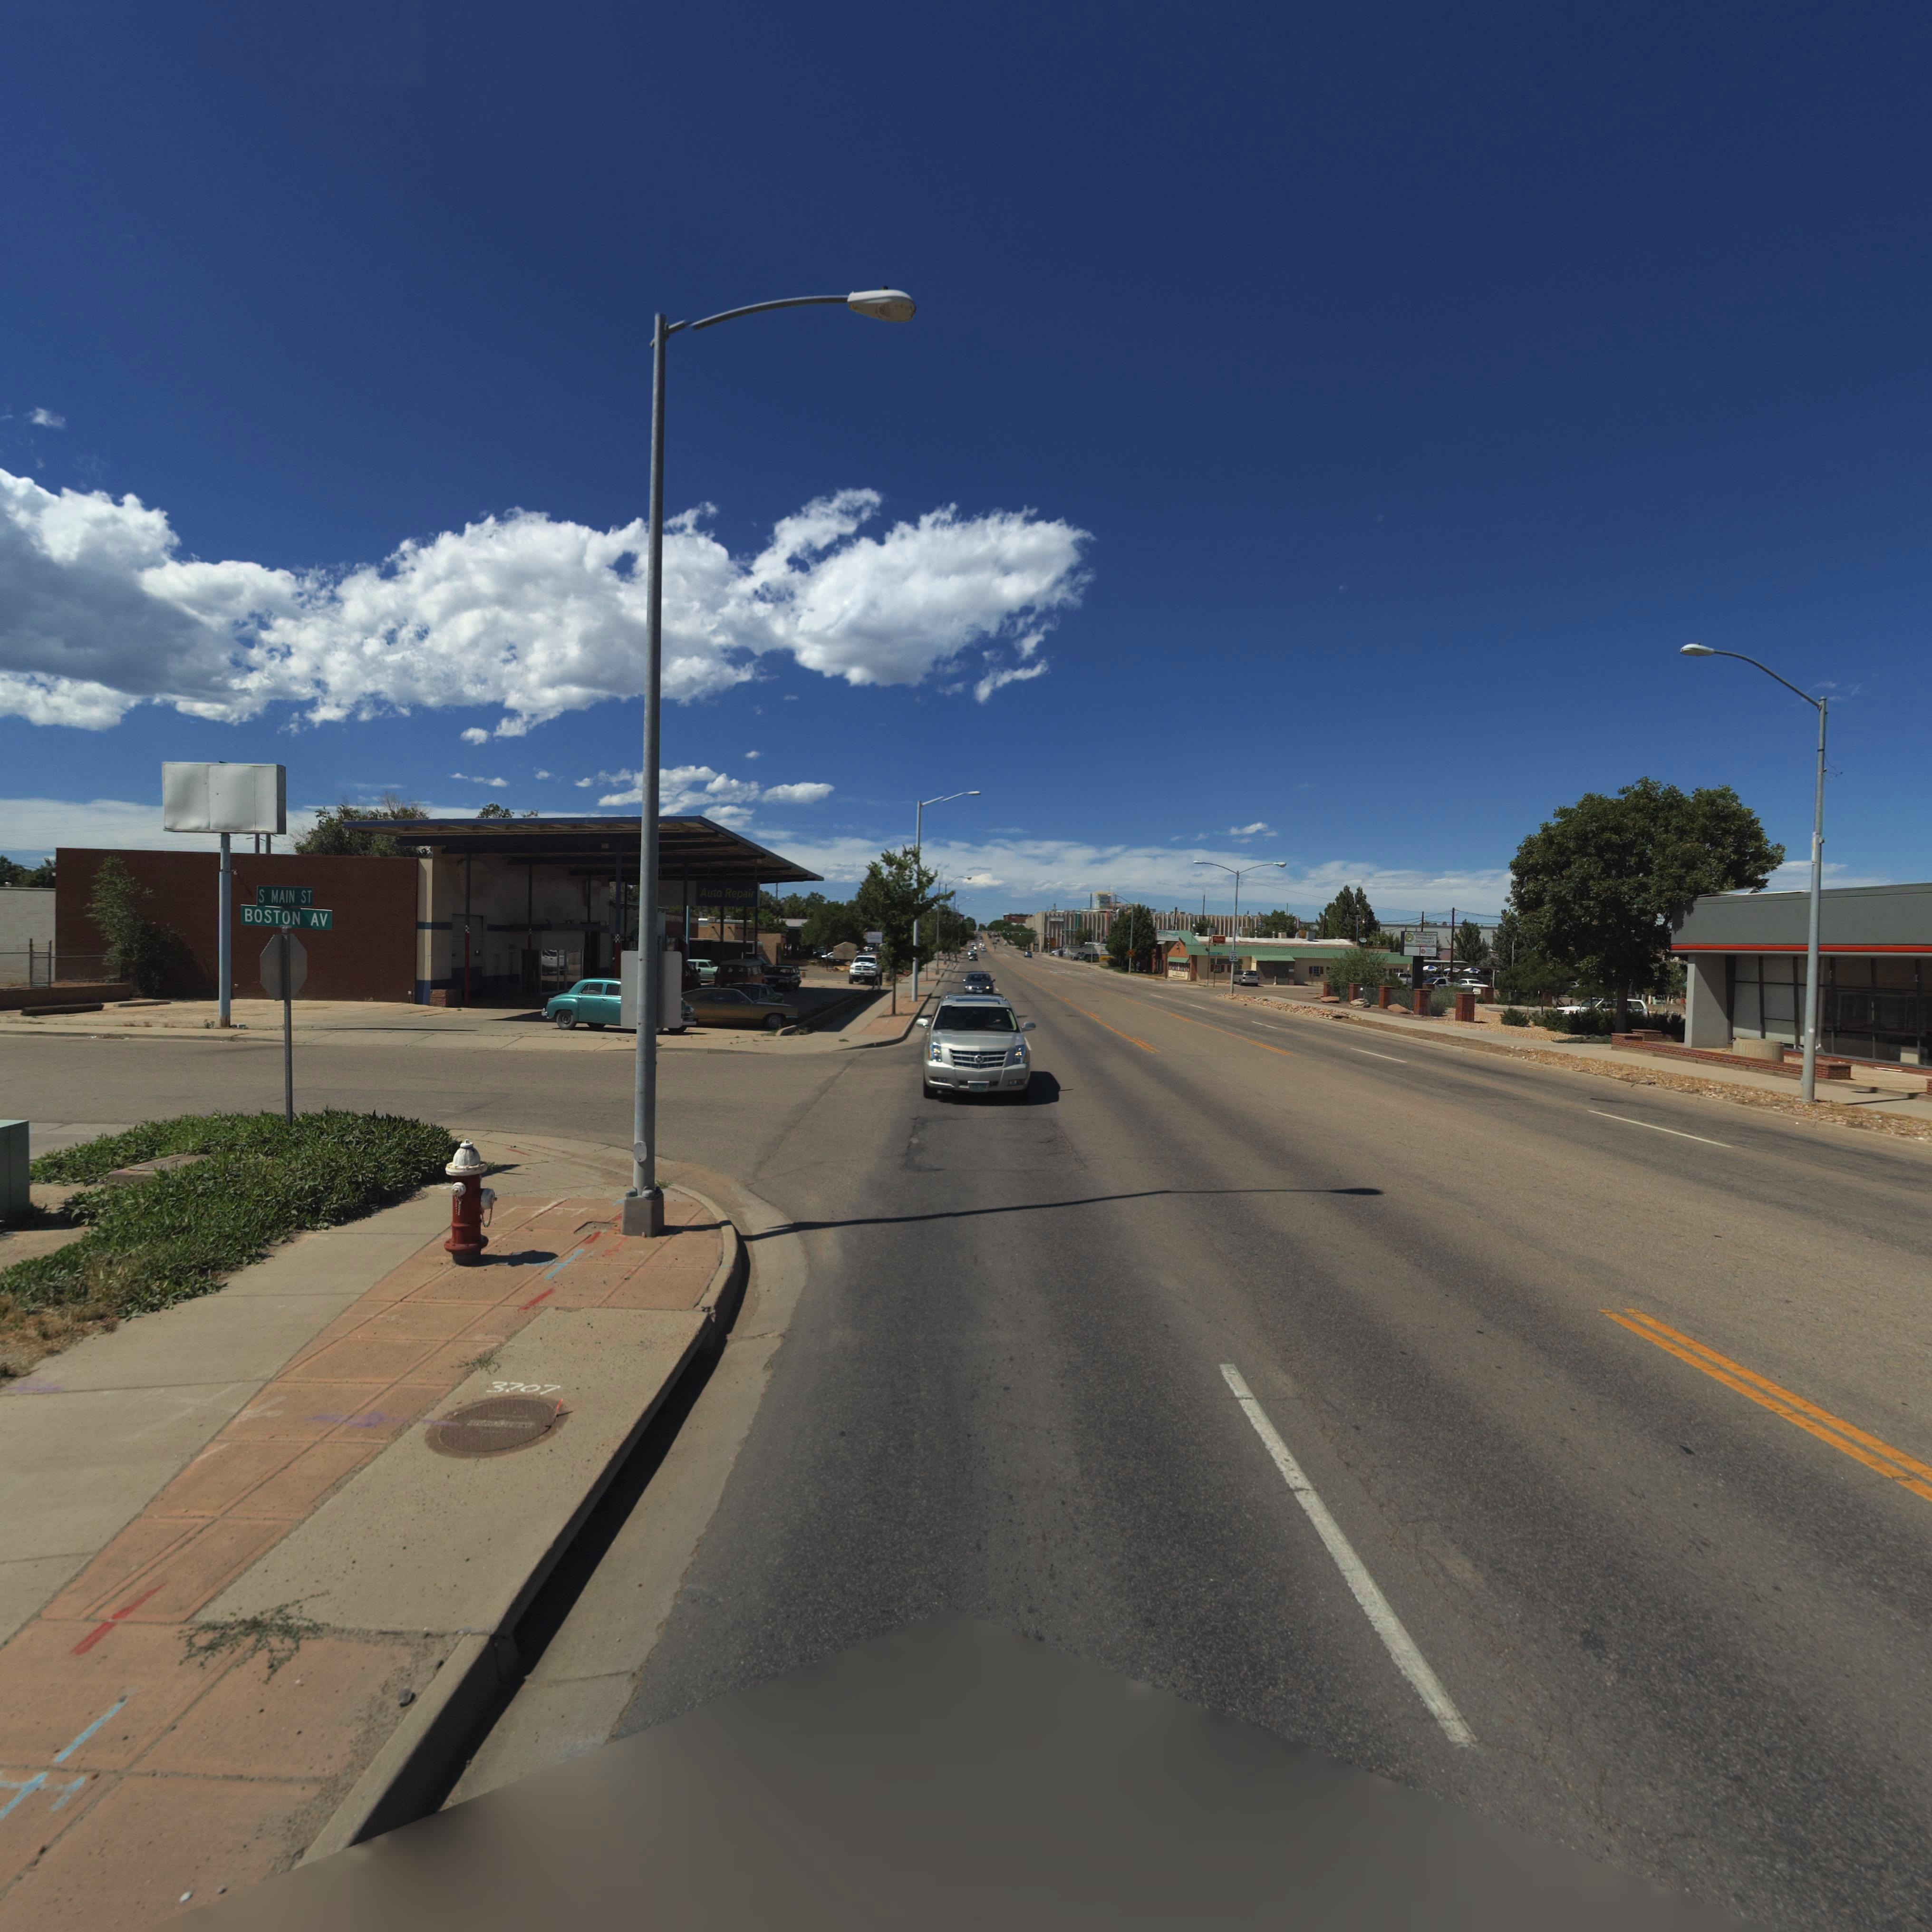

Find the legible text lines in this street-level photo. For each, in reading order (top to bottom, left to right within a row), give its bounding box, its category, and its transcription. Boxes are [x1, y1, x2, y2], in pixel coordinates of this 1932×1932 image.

[258, 889, 312, 904] StreetName: S MAIN ST
[244, 908, 328, 927] StreetName: BOSTON AV
[1412, 932, 1437, 936] BusinessName: A**** M**DO*
[1415, 936, 1434, 940] BusinessName: VE****N**Y
[1414, 939, 1434, 944] BusinessName: S*EC****STS